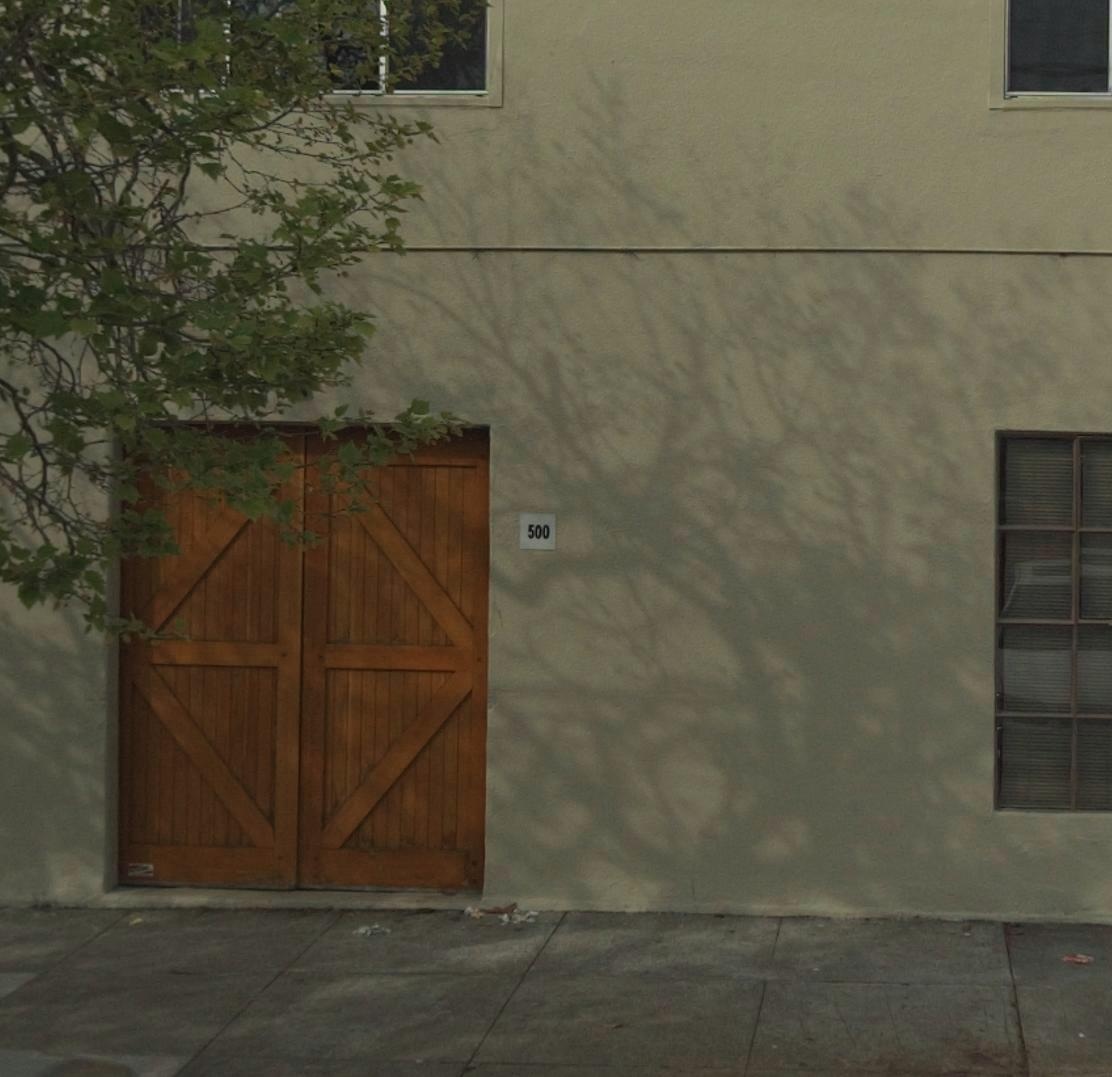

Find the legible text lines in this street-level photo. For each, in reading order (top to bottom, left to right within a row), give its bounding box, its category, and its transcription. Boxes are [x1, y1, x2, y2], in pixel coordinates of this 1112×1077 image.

[526, 522, 551, 541] StreetNumber: 500